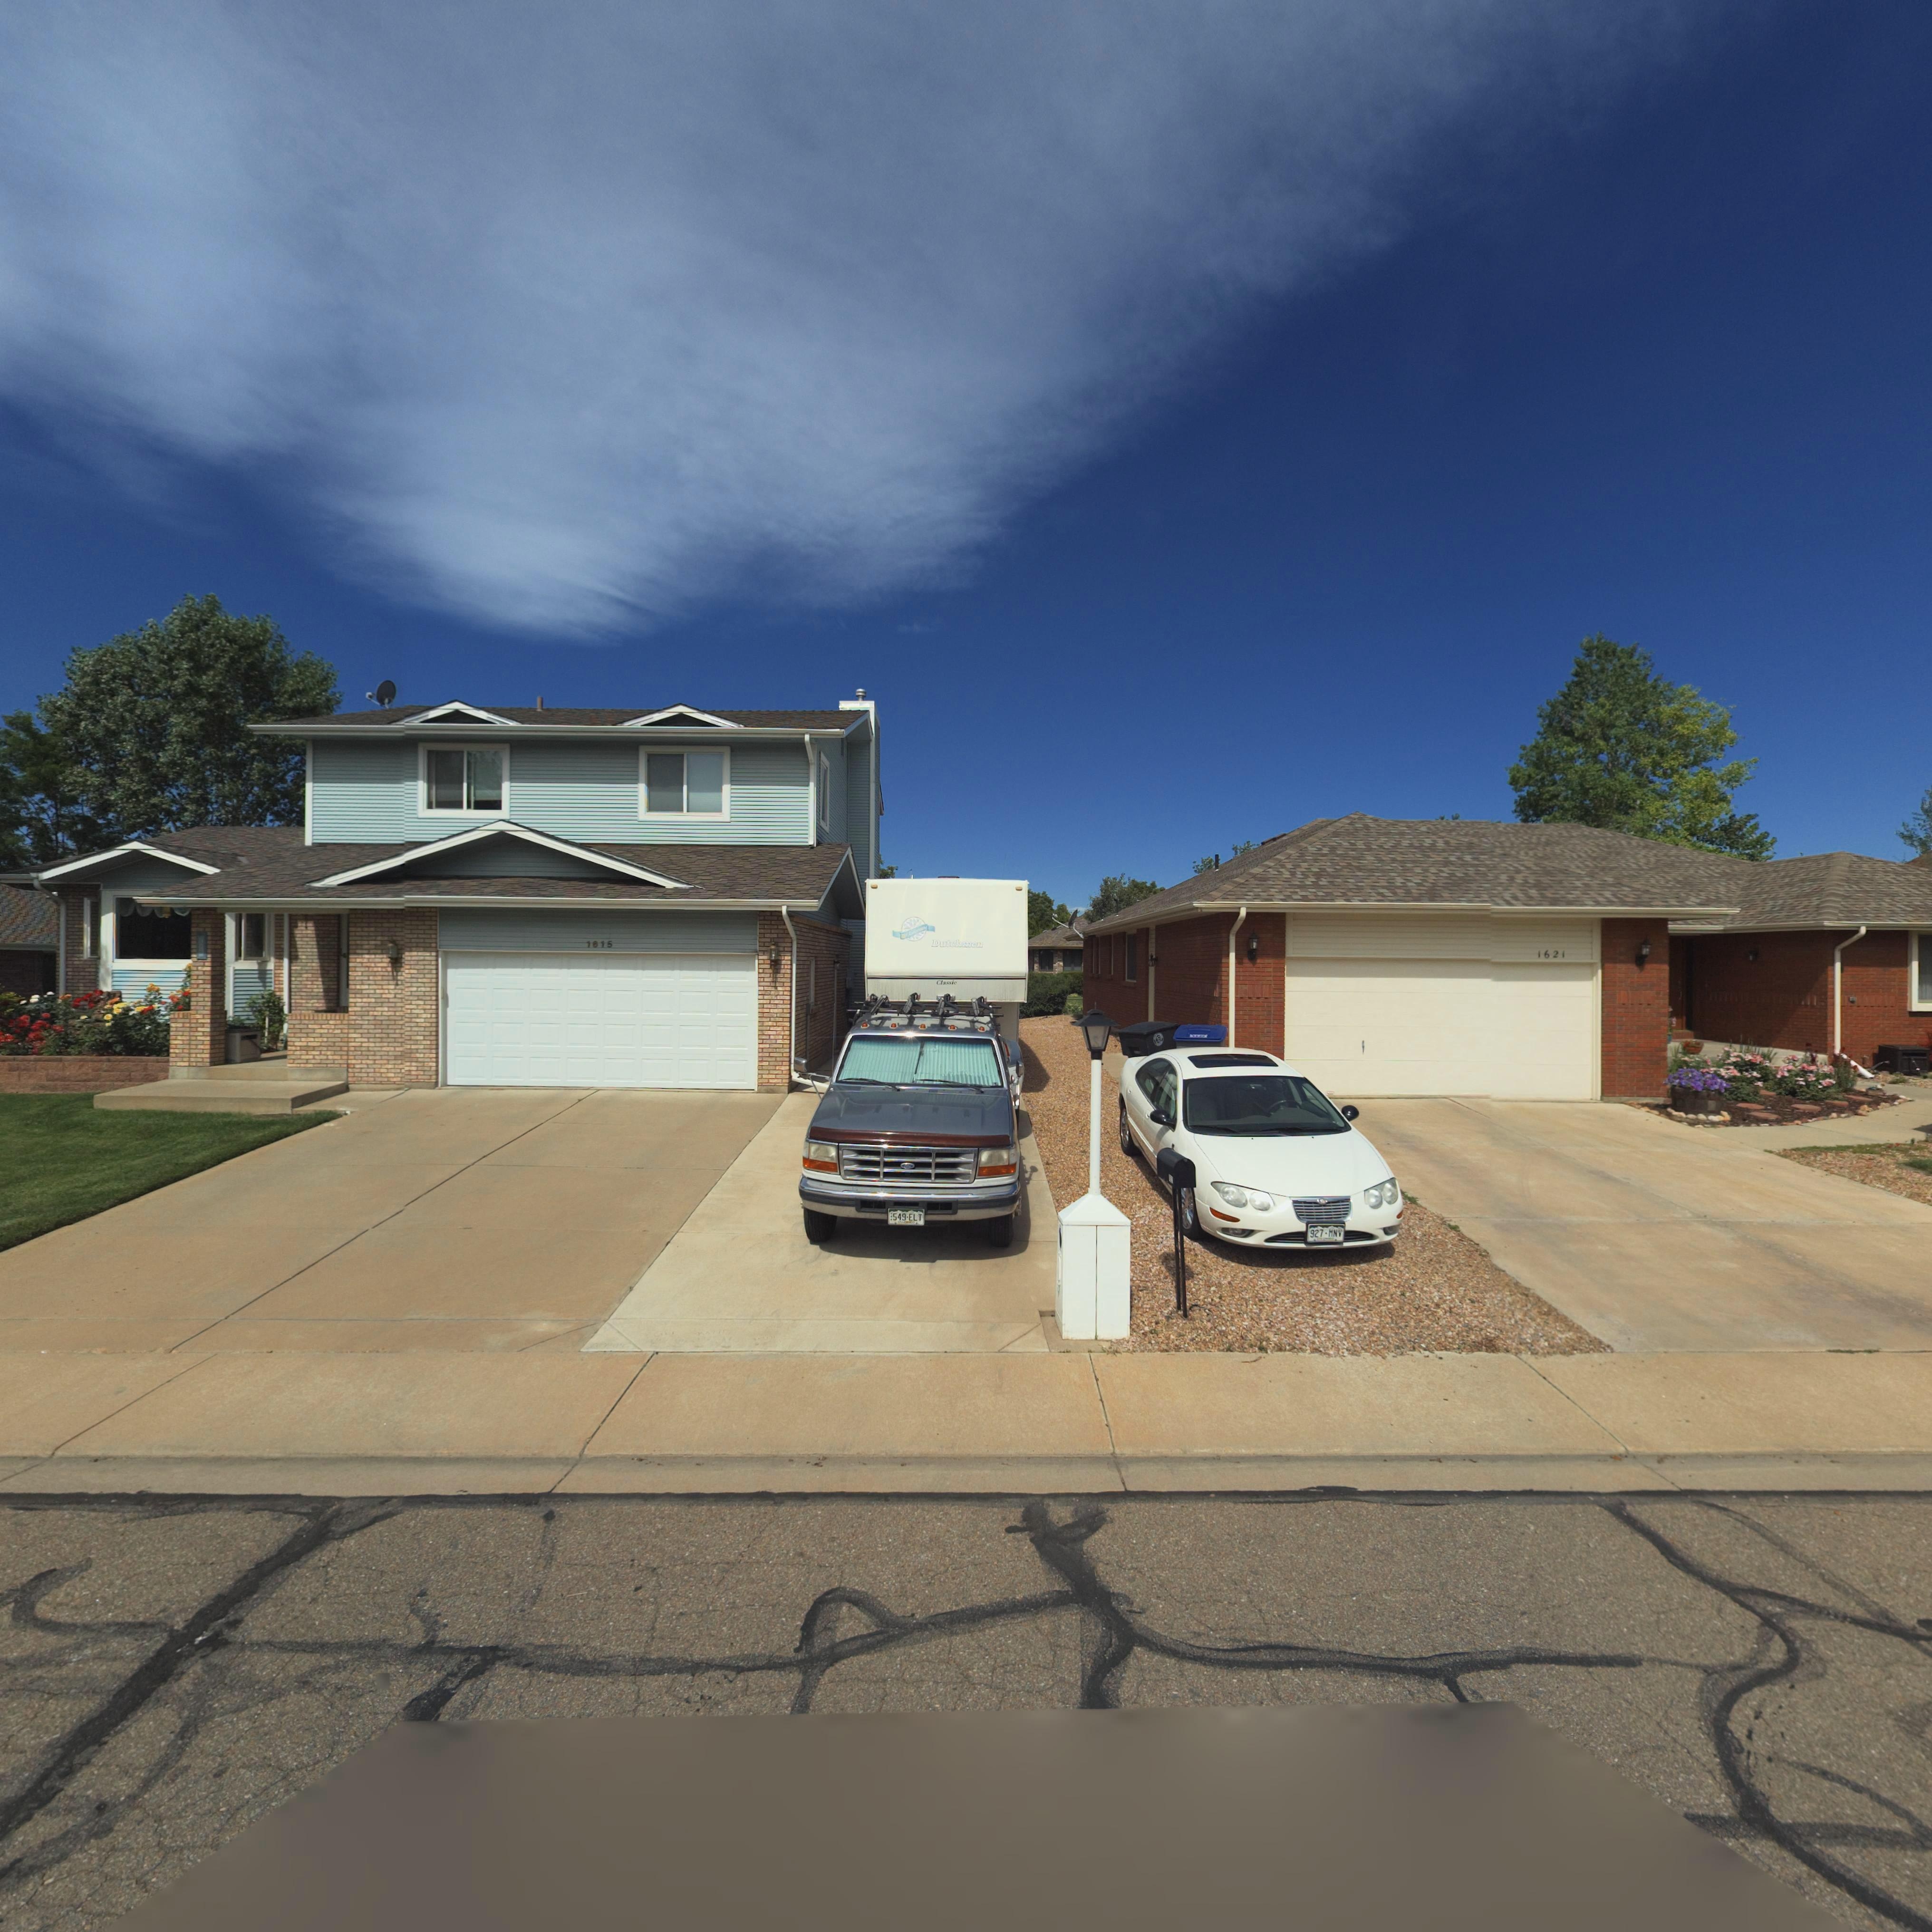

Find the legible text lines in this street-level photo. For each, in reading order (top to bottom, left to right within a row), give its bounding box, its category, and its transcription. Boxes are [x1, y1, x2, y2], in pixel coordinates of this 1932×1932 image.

[585, 939, 613, 949] StreetNumber: 1615
[1537, 949, 1566, 959] StreetNumber: 1621